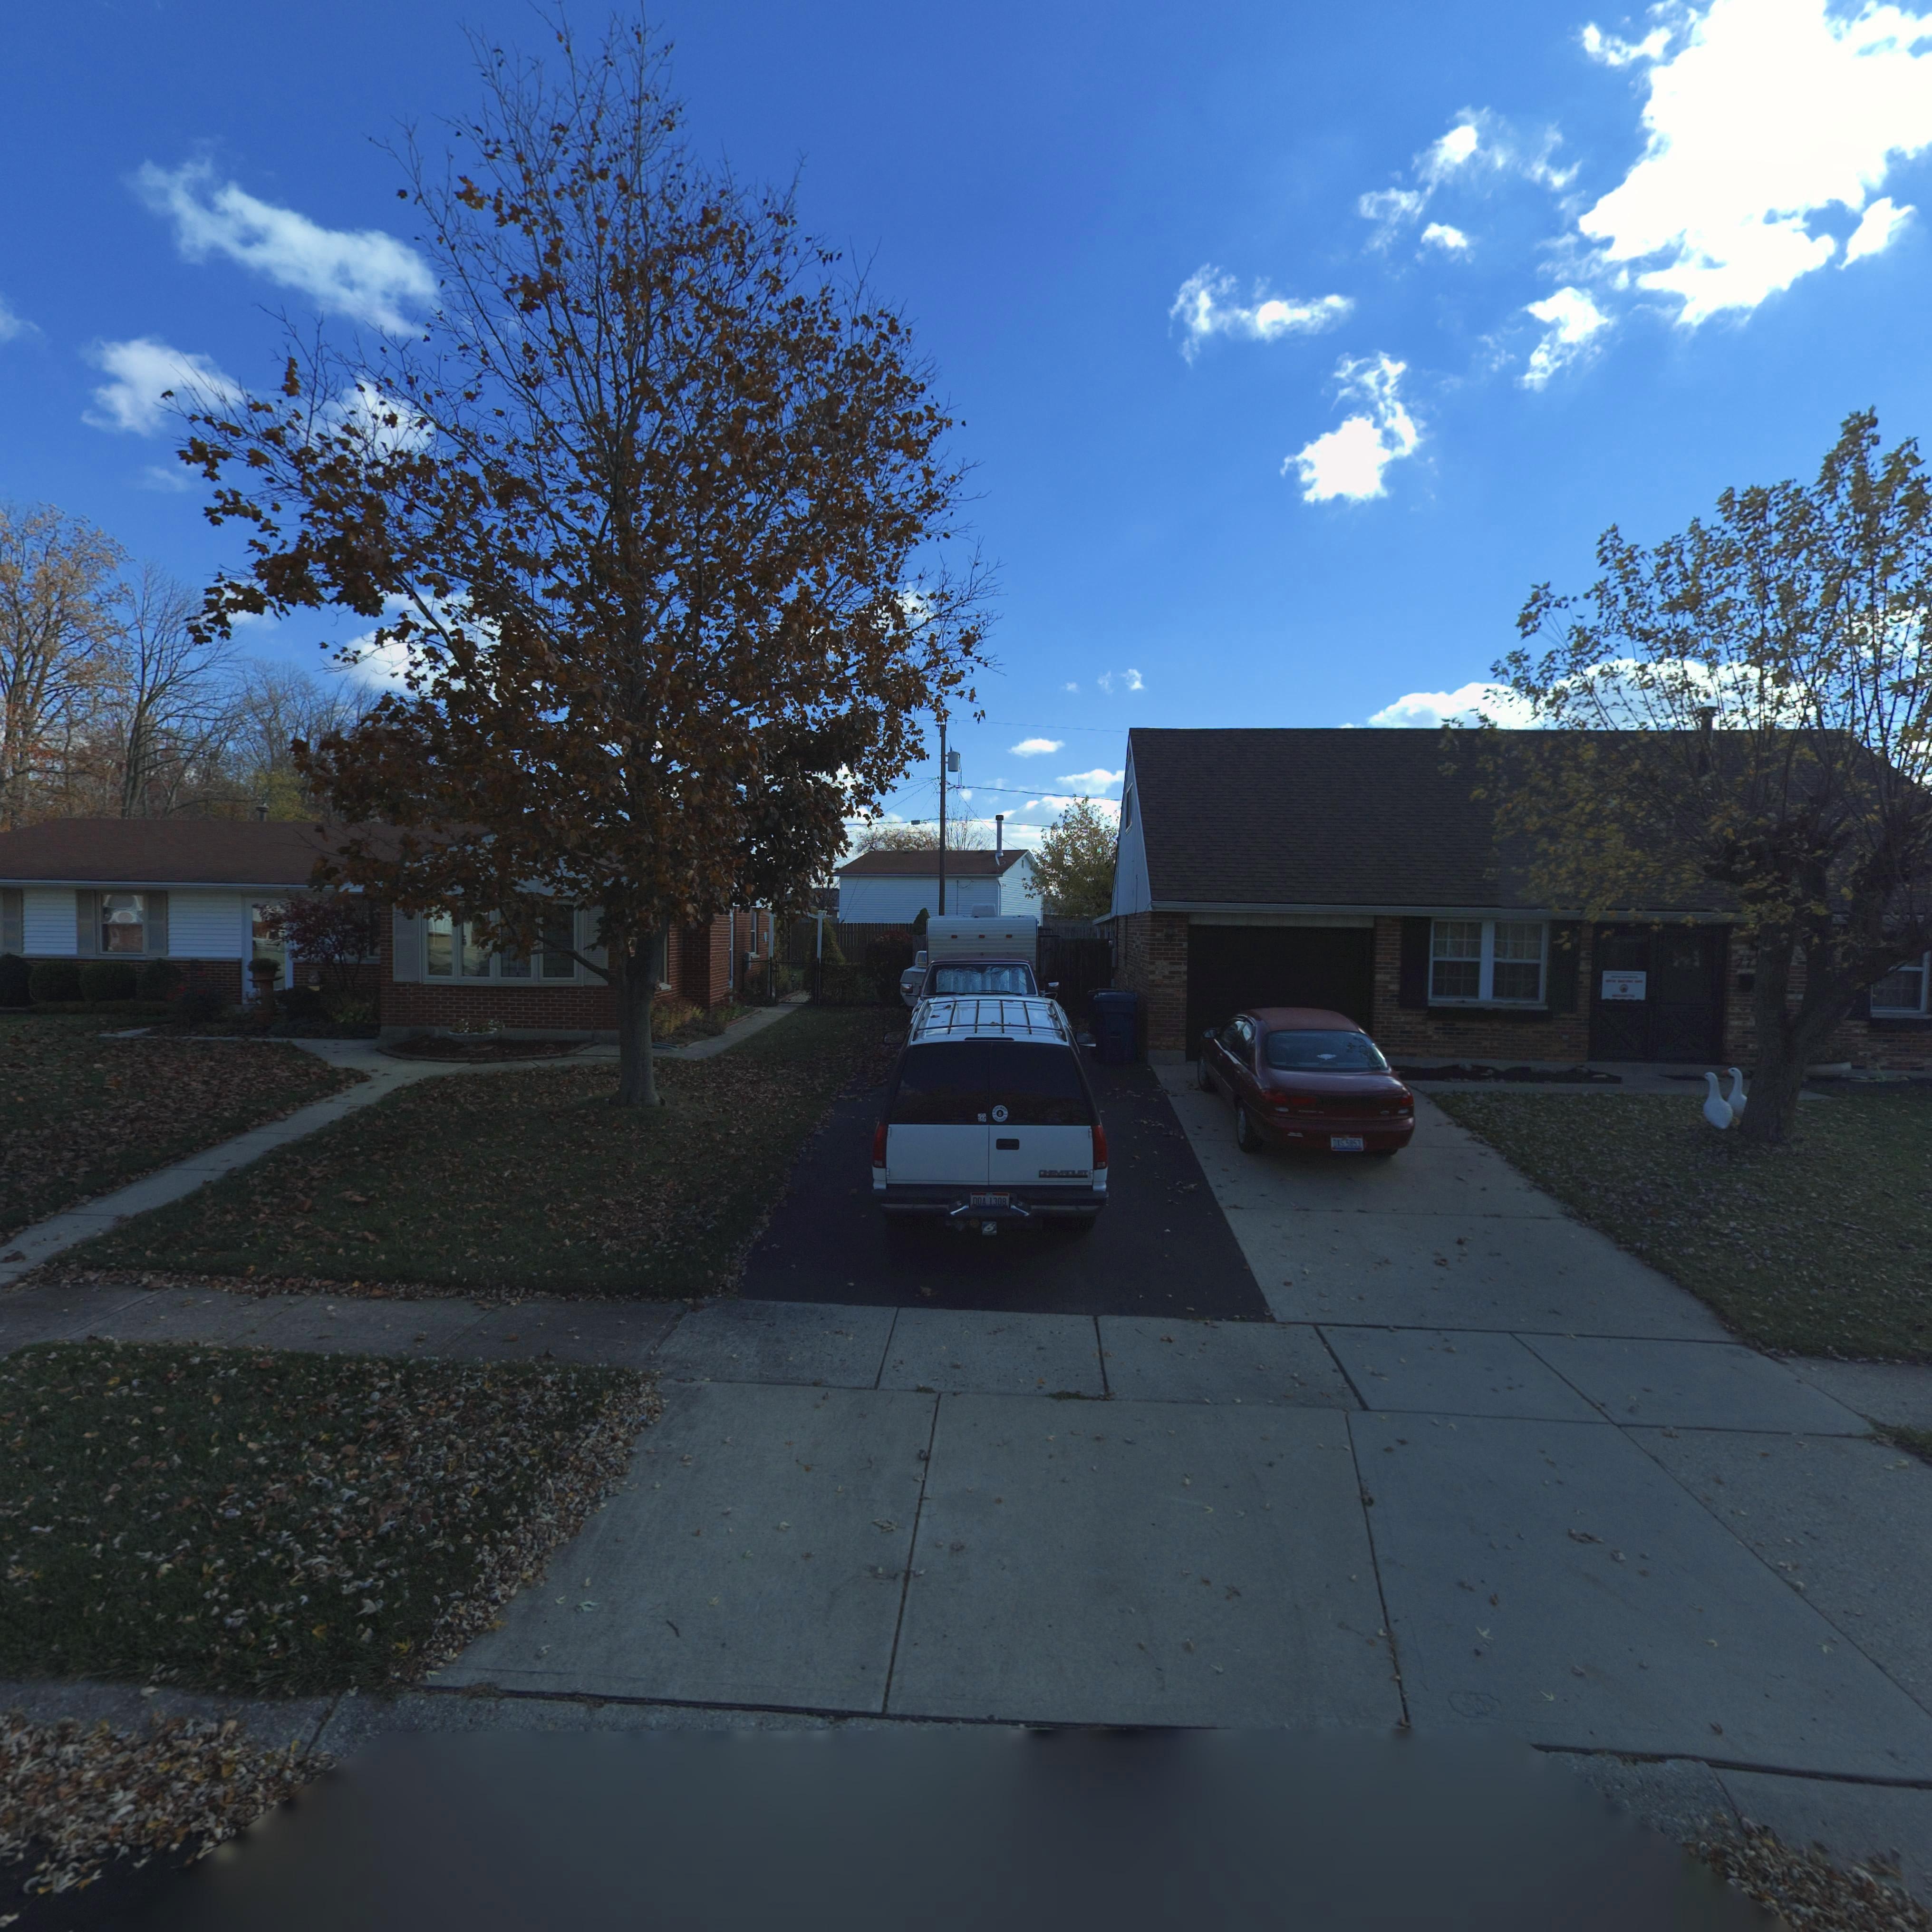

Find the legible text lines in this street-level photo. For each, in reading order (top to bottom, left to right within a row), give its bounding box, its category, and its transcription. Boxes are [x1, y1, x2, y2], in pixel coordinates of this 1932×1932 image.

[1736, 957, 1753, 969] StreetNumber: 77